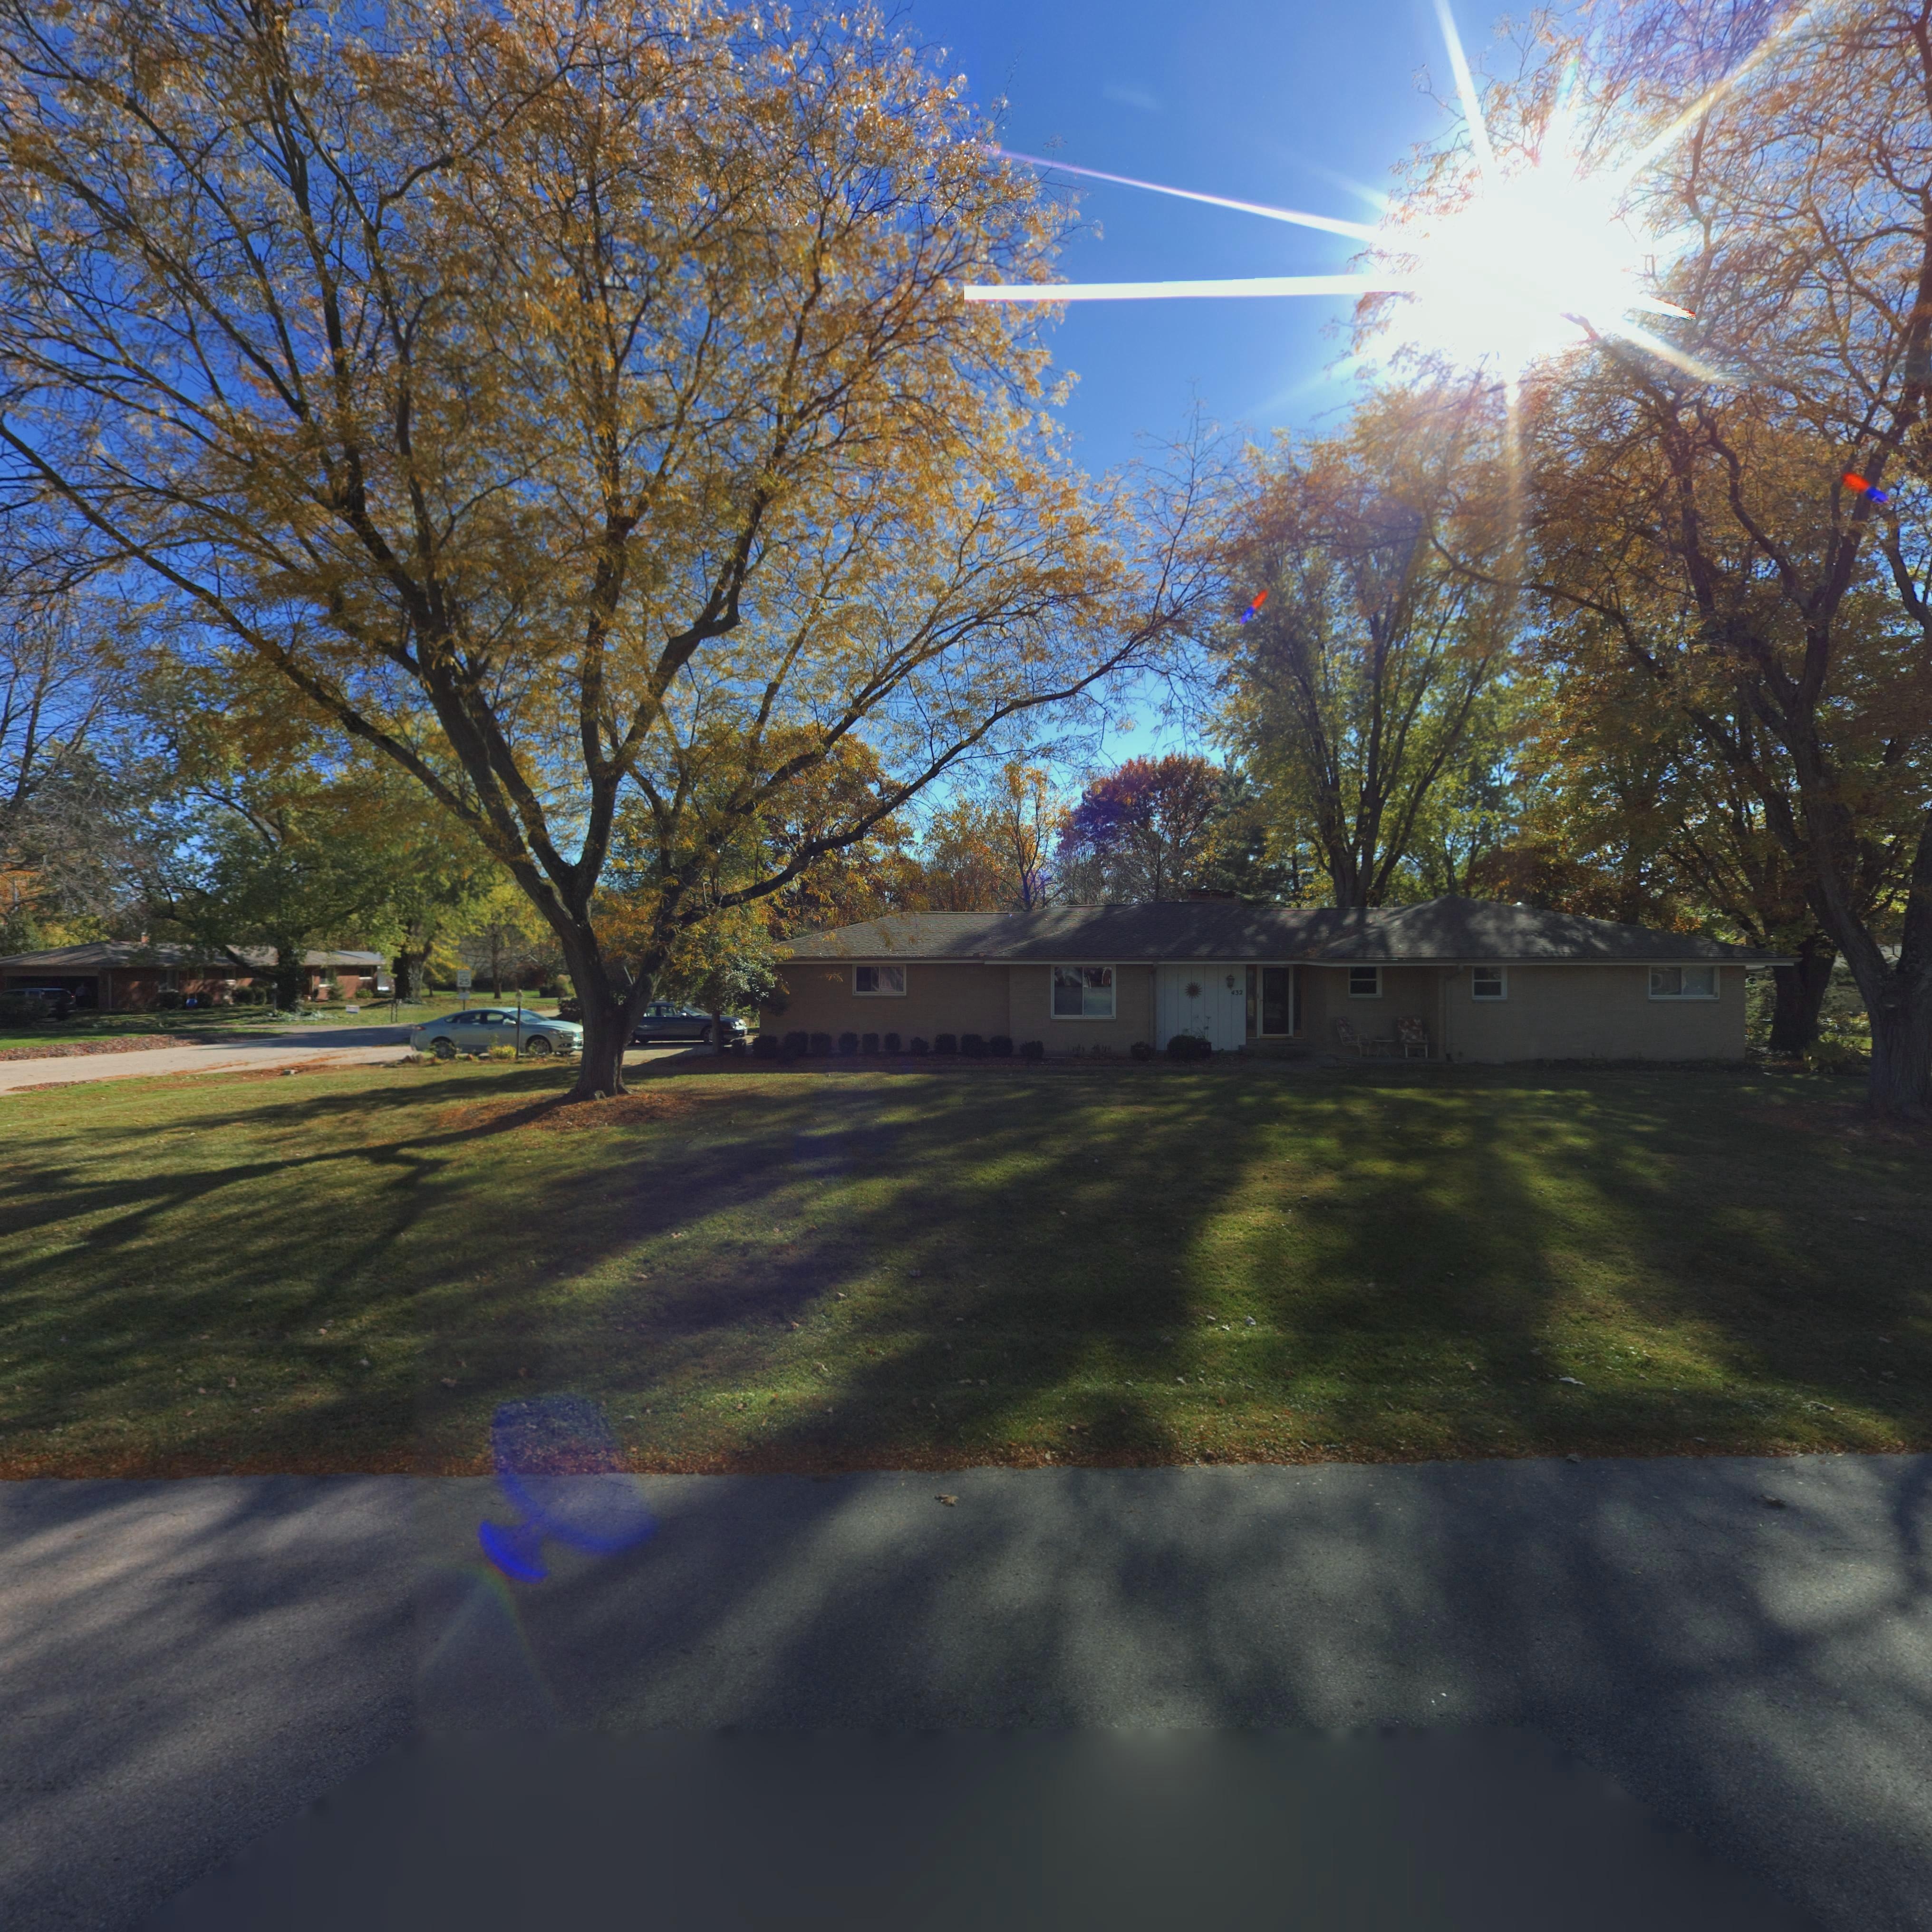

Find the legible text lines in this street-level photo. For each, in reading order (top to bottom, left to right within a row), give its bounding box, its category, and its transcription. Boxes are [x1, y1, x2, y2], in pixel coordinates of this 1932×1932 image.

[458, 978, 470, 986] None: 25
[1230, 989, 1243, 995] StreetNumber: 432